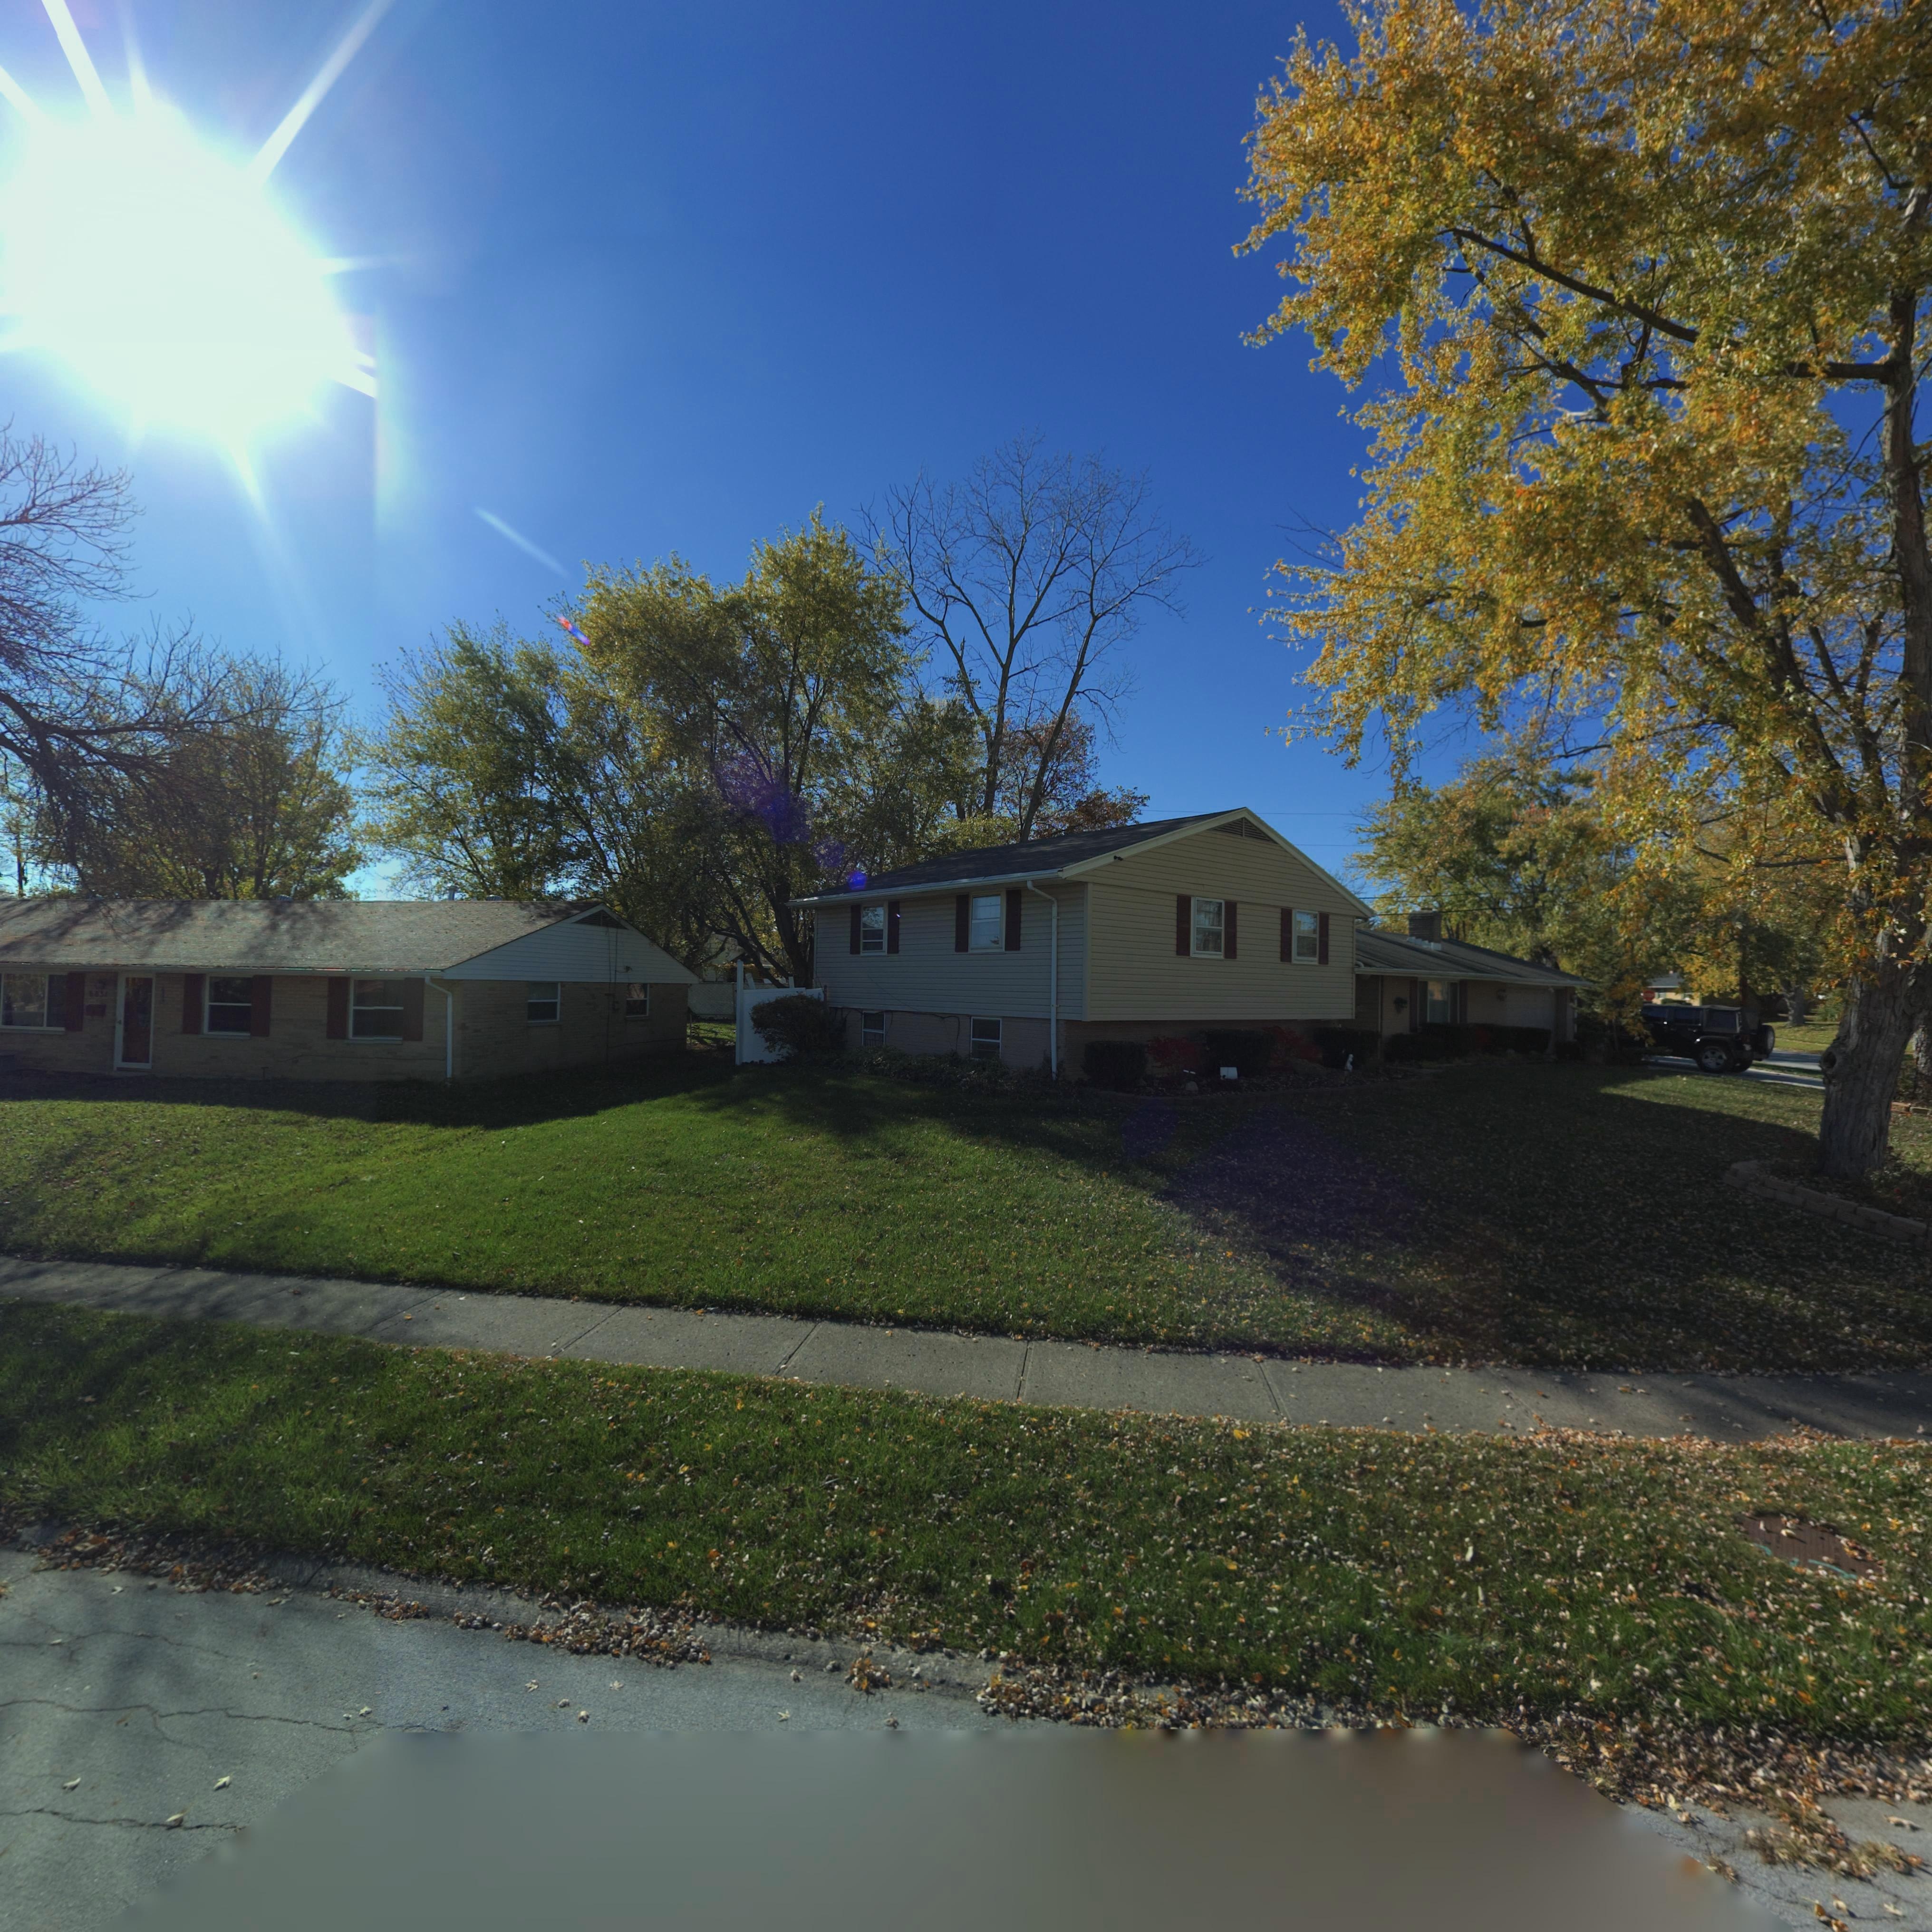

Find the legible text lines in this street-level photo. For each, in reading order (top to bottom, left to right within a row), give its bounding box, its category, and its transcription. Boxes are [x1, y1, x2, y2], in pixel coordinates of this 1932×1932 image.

[88, 990, 109, 997] StreetNumber: 6831